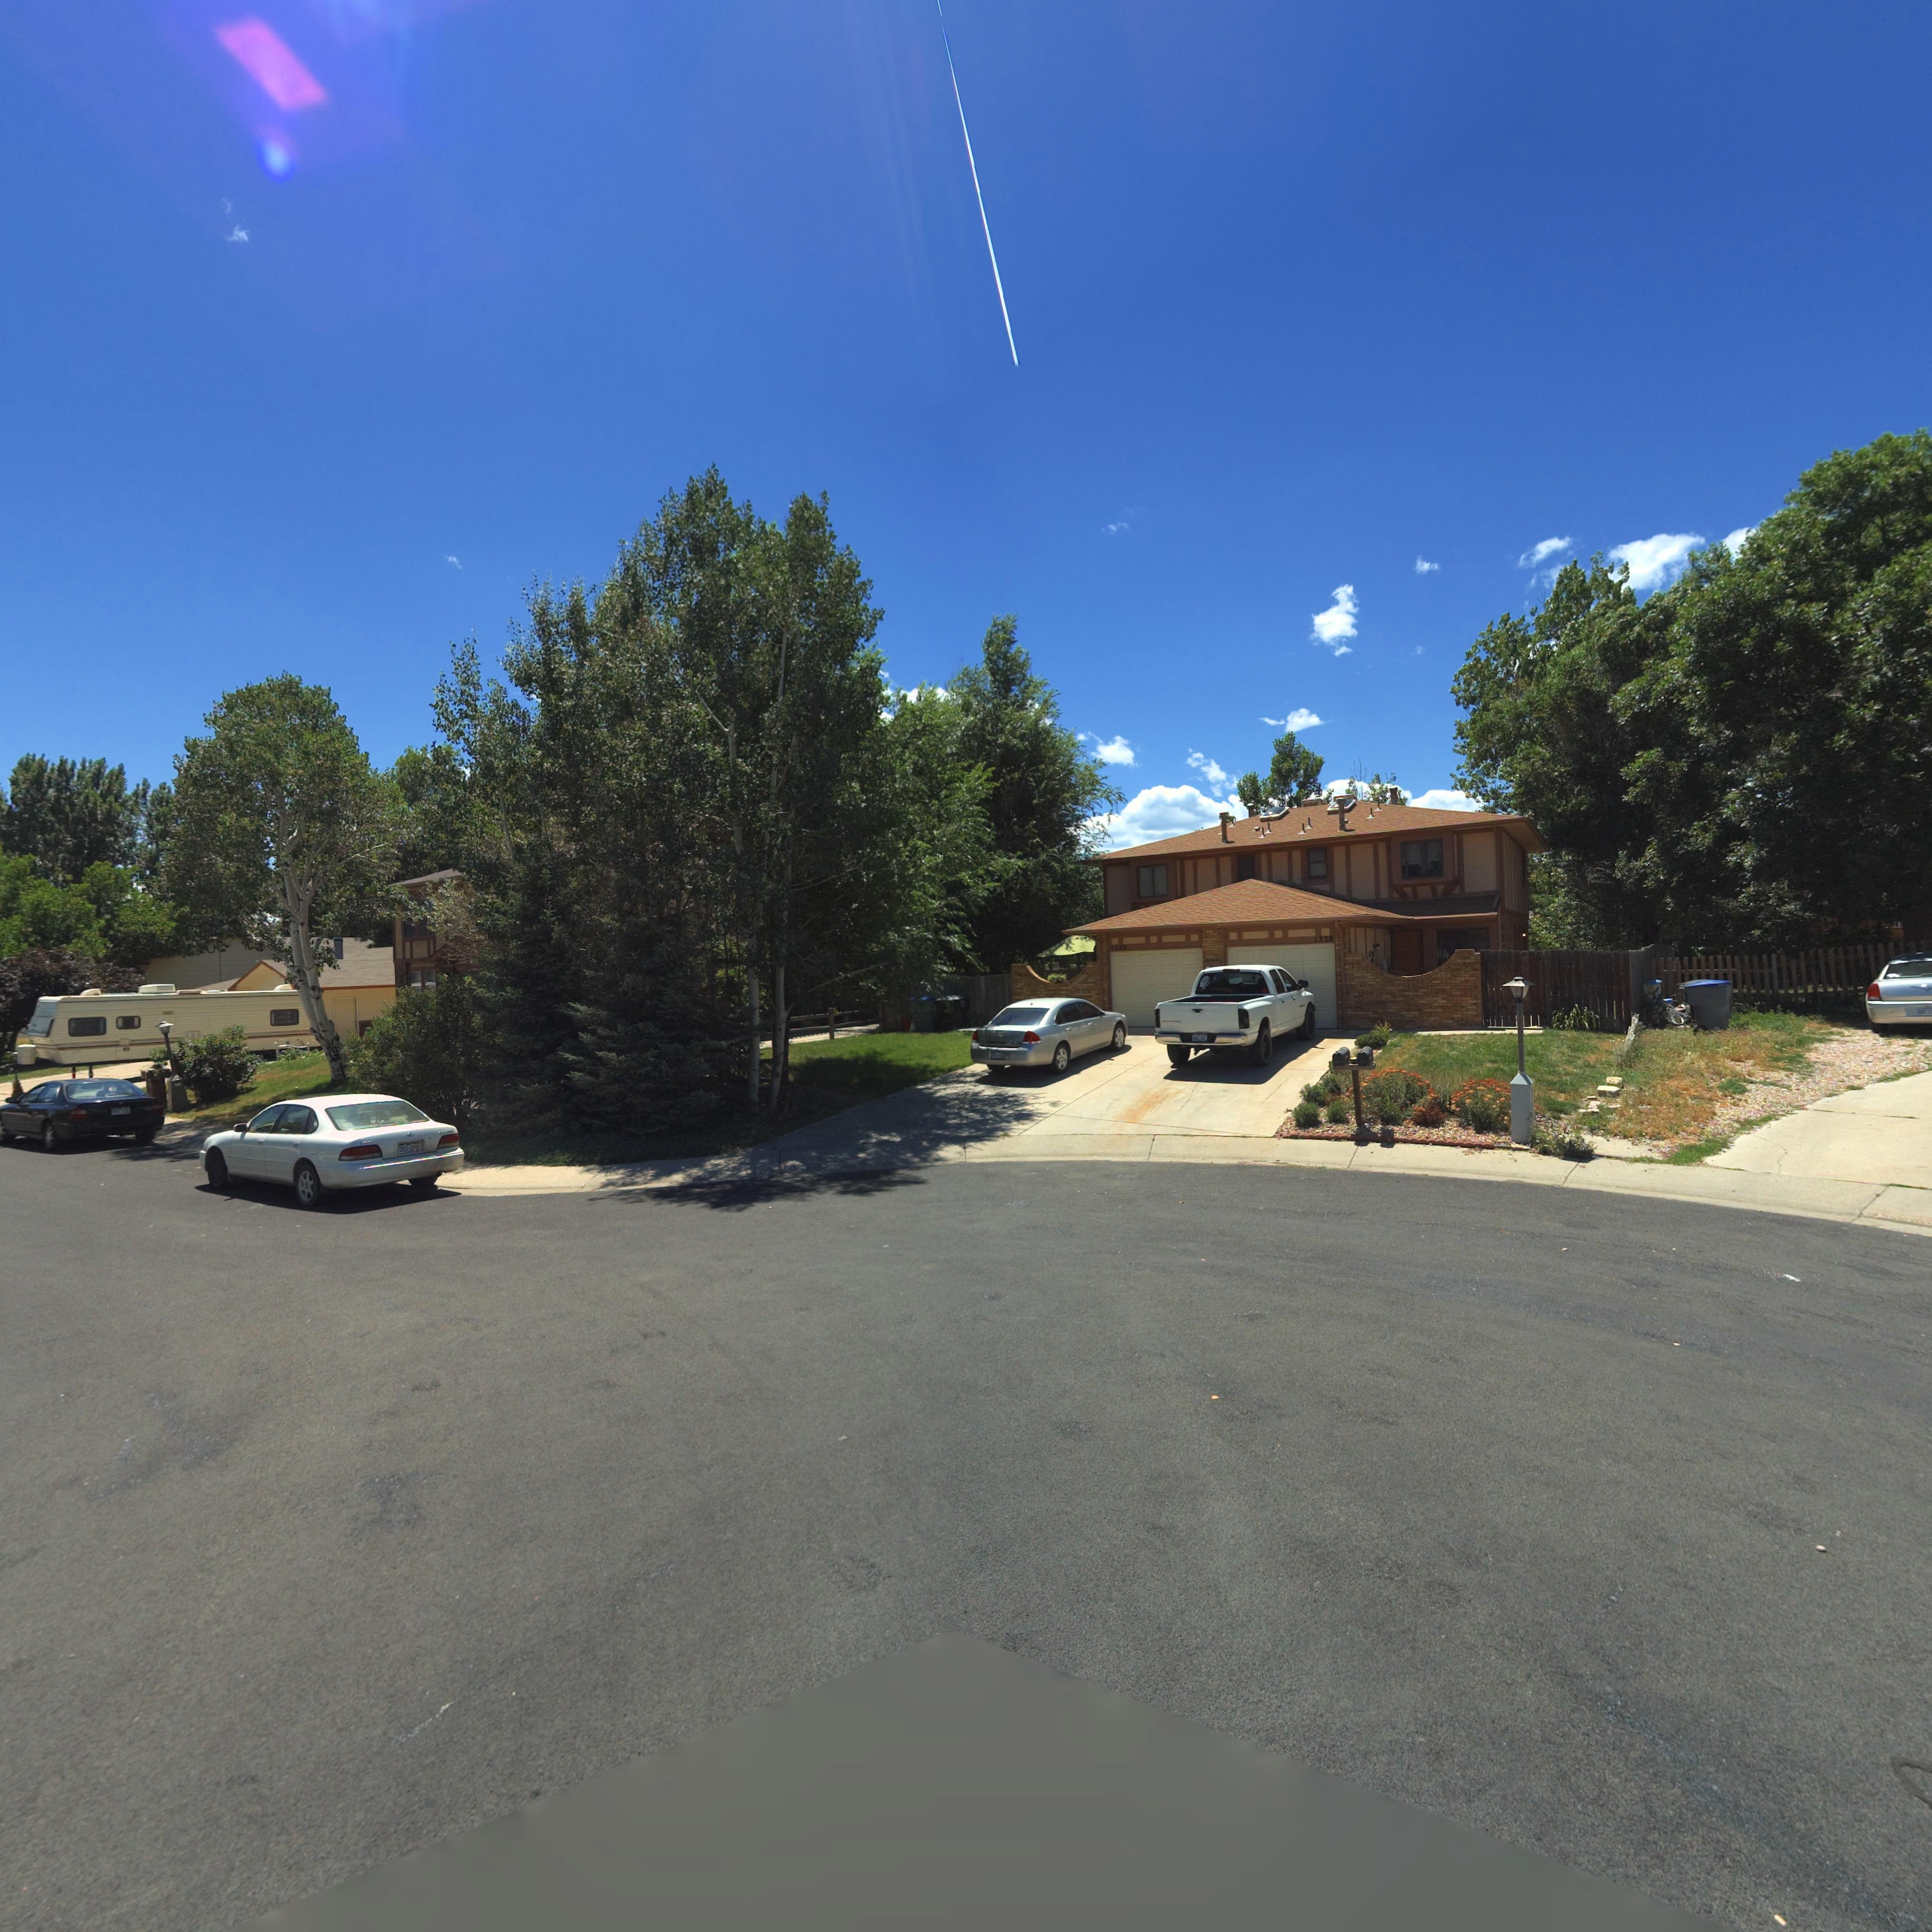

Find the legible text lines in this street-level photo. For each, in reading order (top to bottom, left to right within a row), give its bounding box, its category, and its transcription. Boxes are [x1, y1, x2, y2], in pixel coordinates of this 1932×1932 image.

[1314, 935, 1333, 943] StreetNumber: 1328
[1111, 944, 1127, 950] StreetNumber: 1326